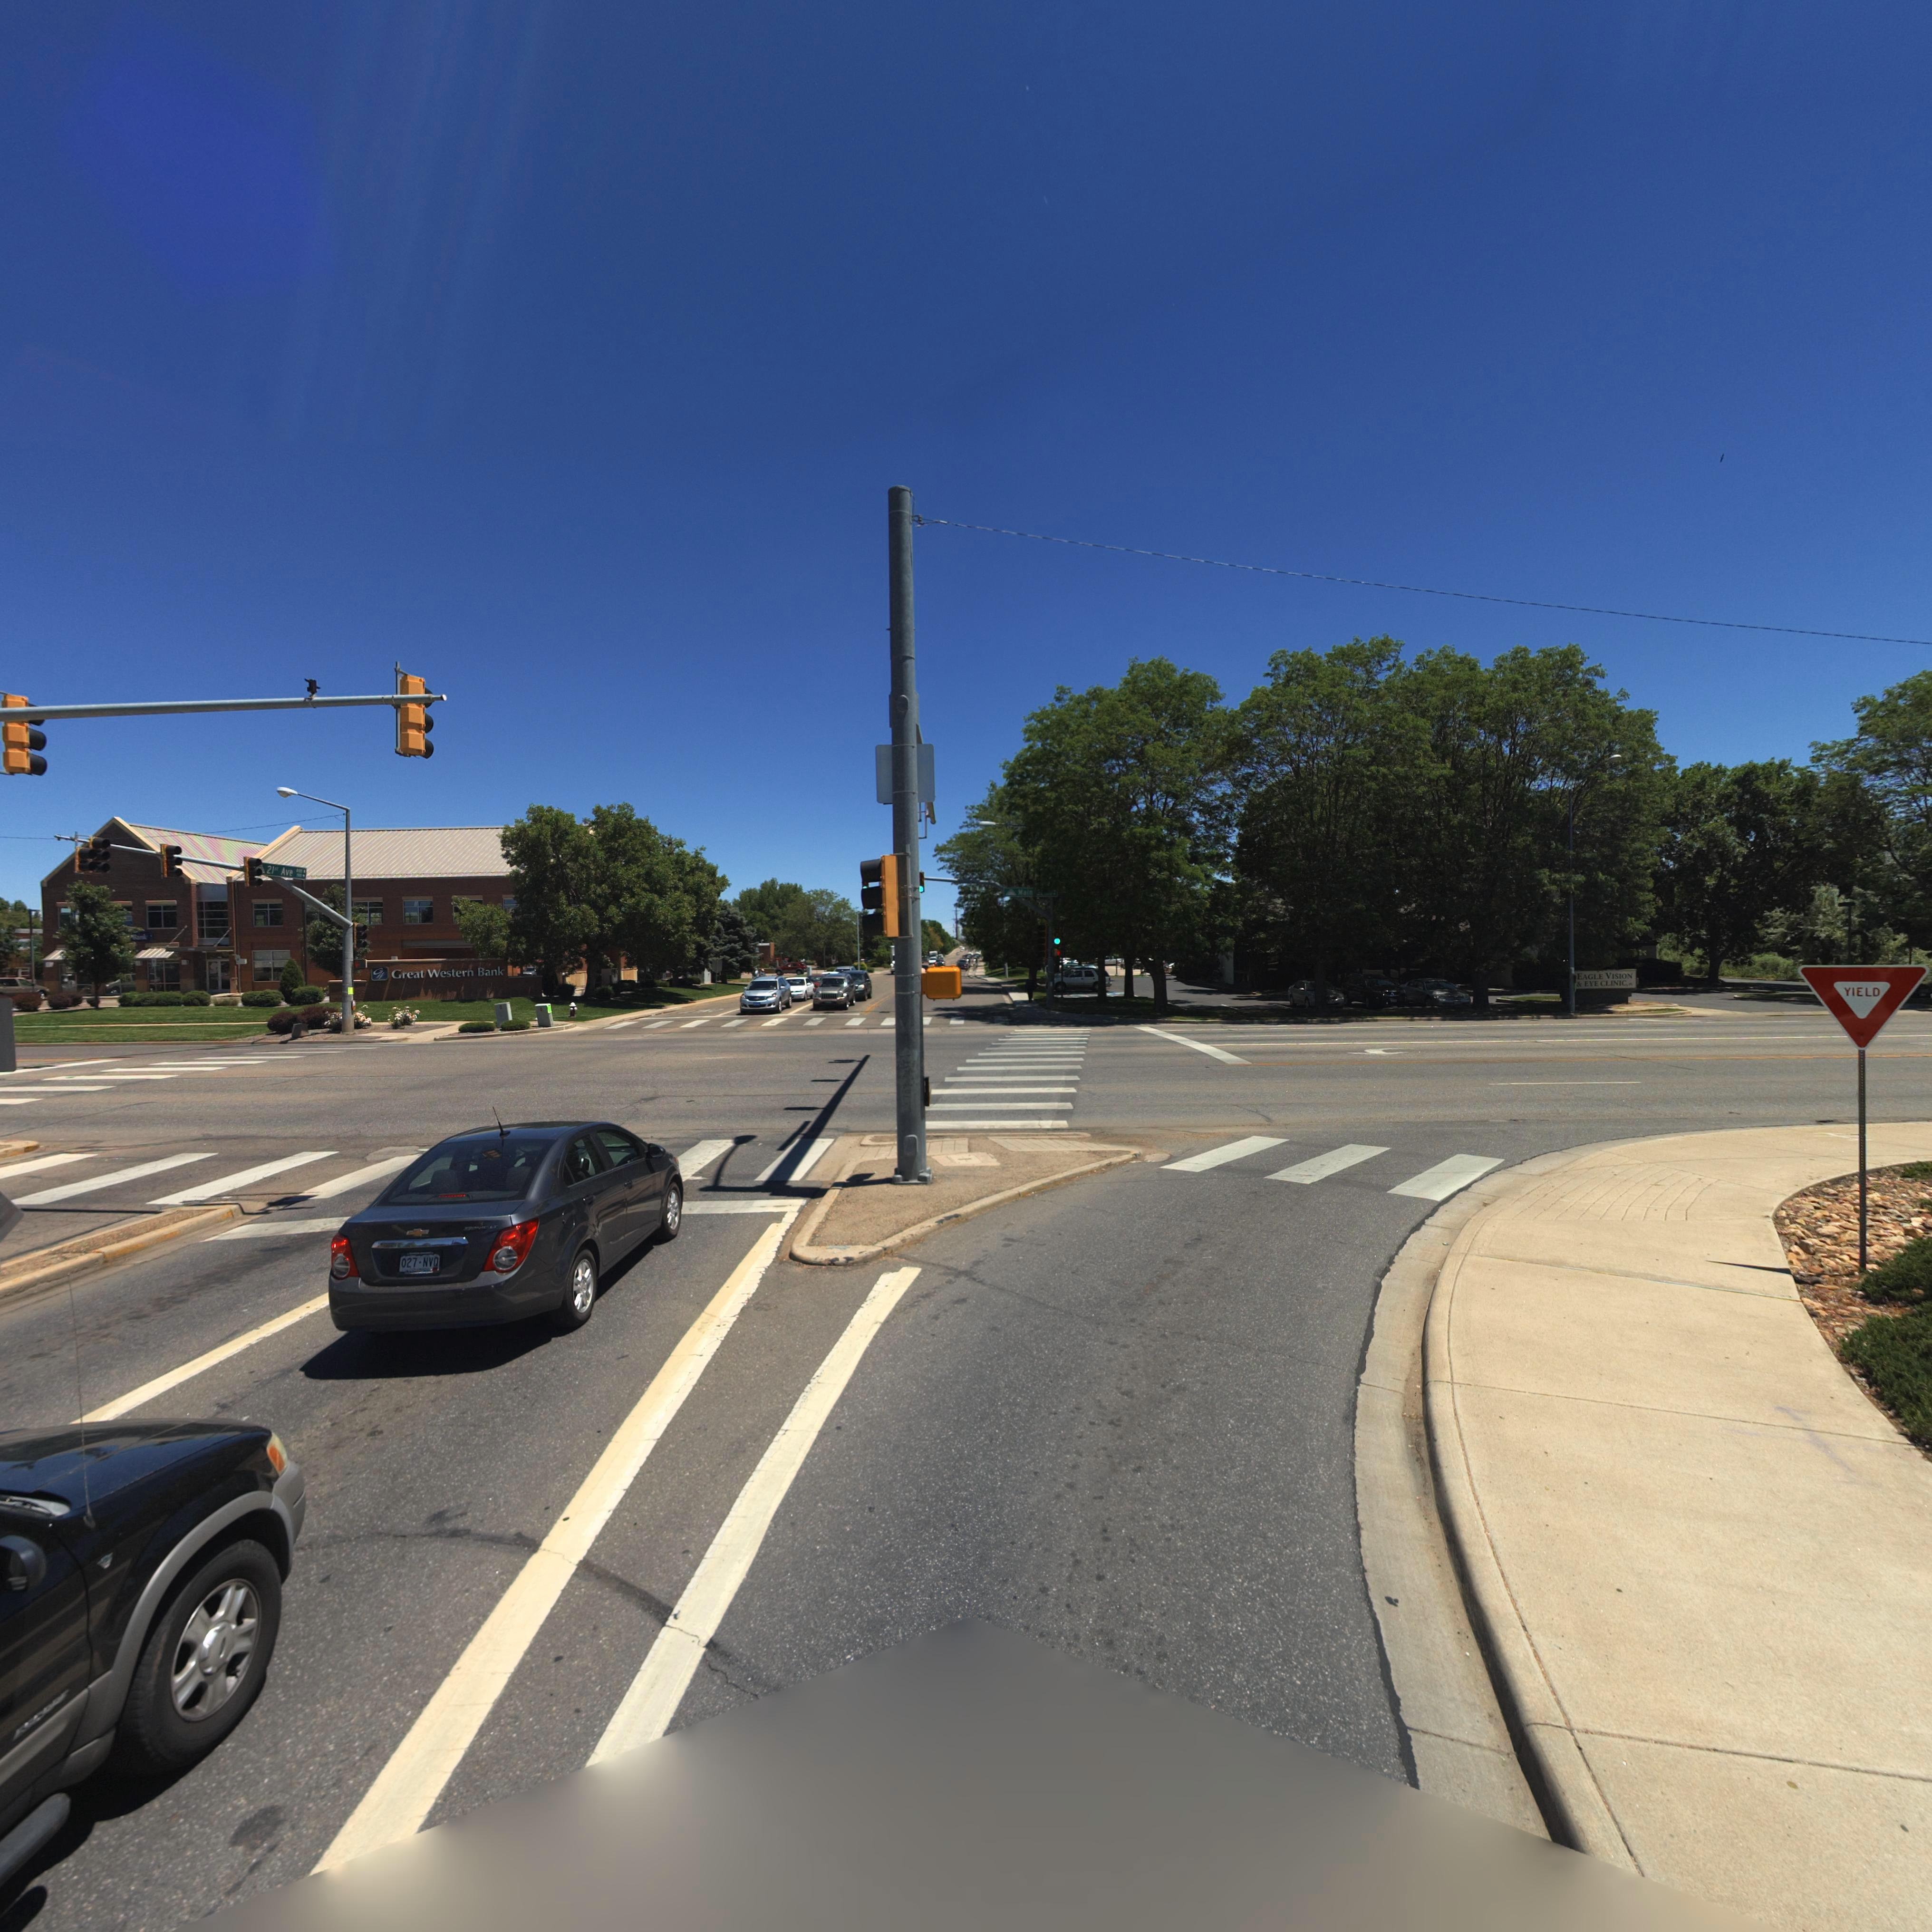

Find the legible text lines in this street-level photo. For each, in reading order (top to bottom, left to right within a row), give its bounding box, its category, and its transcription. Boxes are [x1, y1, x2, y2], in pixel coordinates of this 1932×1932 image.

[266, 864, 293, 876] StreetName: 21ST Ave
[295, 868, 302, 872] StreetNumber: 2***
[1017, 889, 1043, 896] StreetName: Main S*
[391, 965, 505, 979] BusinessName: Great Western Bank
[1576, 972, 1633, 980] BusinessName: EAGLE VISION
[1576, 980, 1628, 987] BusinessName: & EYE CLINIC